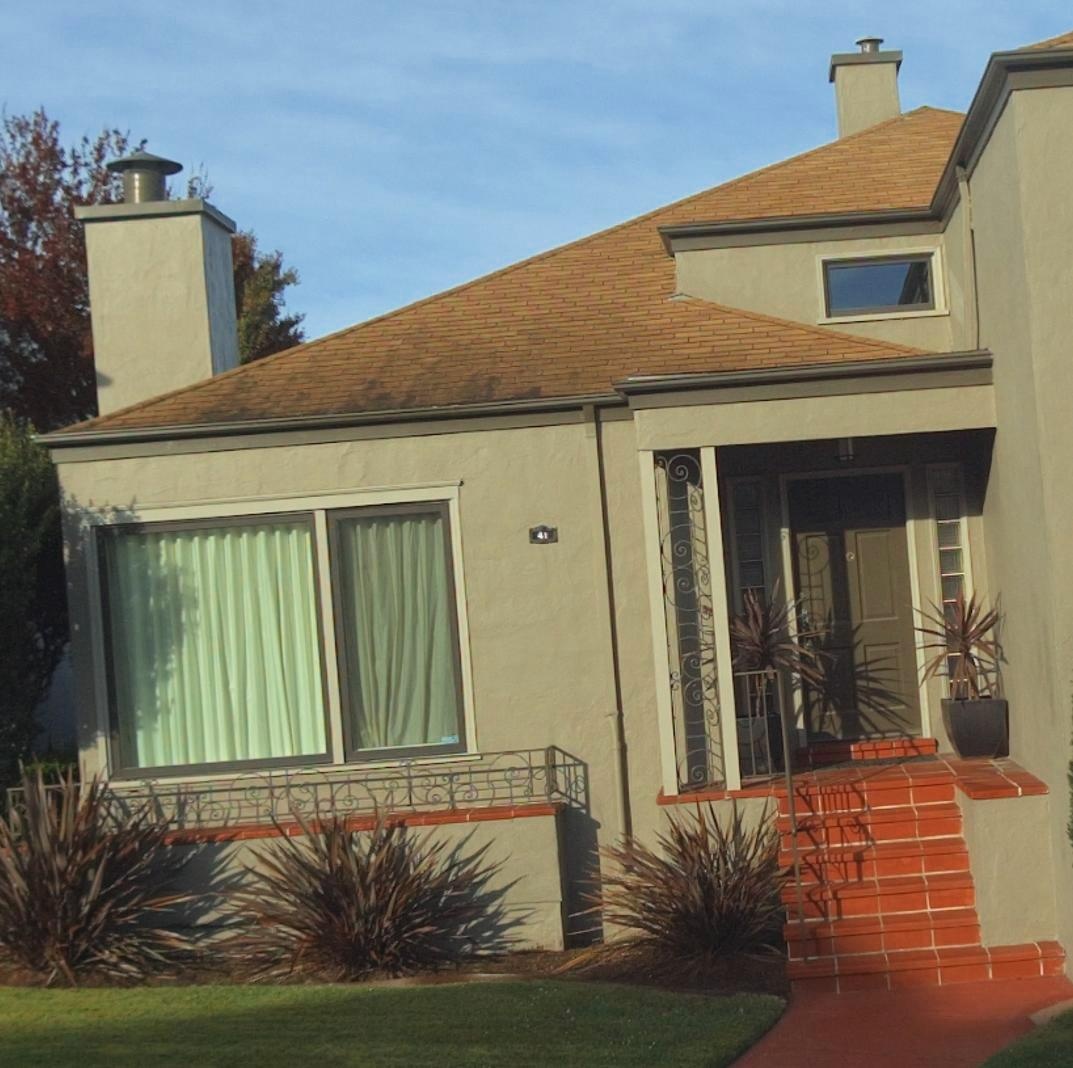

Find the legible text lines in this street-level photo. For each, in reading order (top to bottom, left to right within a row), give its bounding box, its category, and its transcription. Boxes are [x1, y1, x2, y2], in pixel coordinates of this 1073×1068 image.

[535, 529, 550, 542] StreetNumber: 41